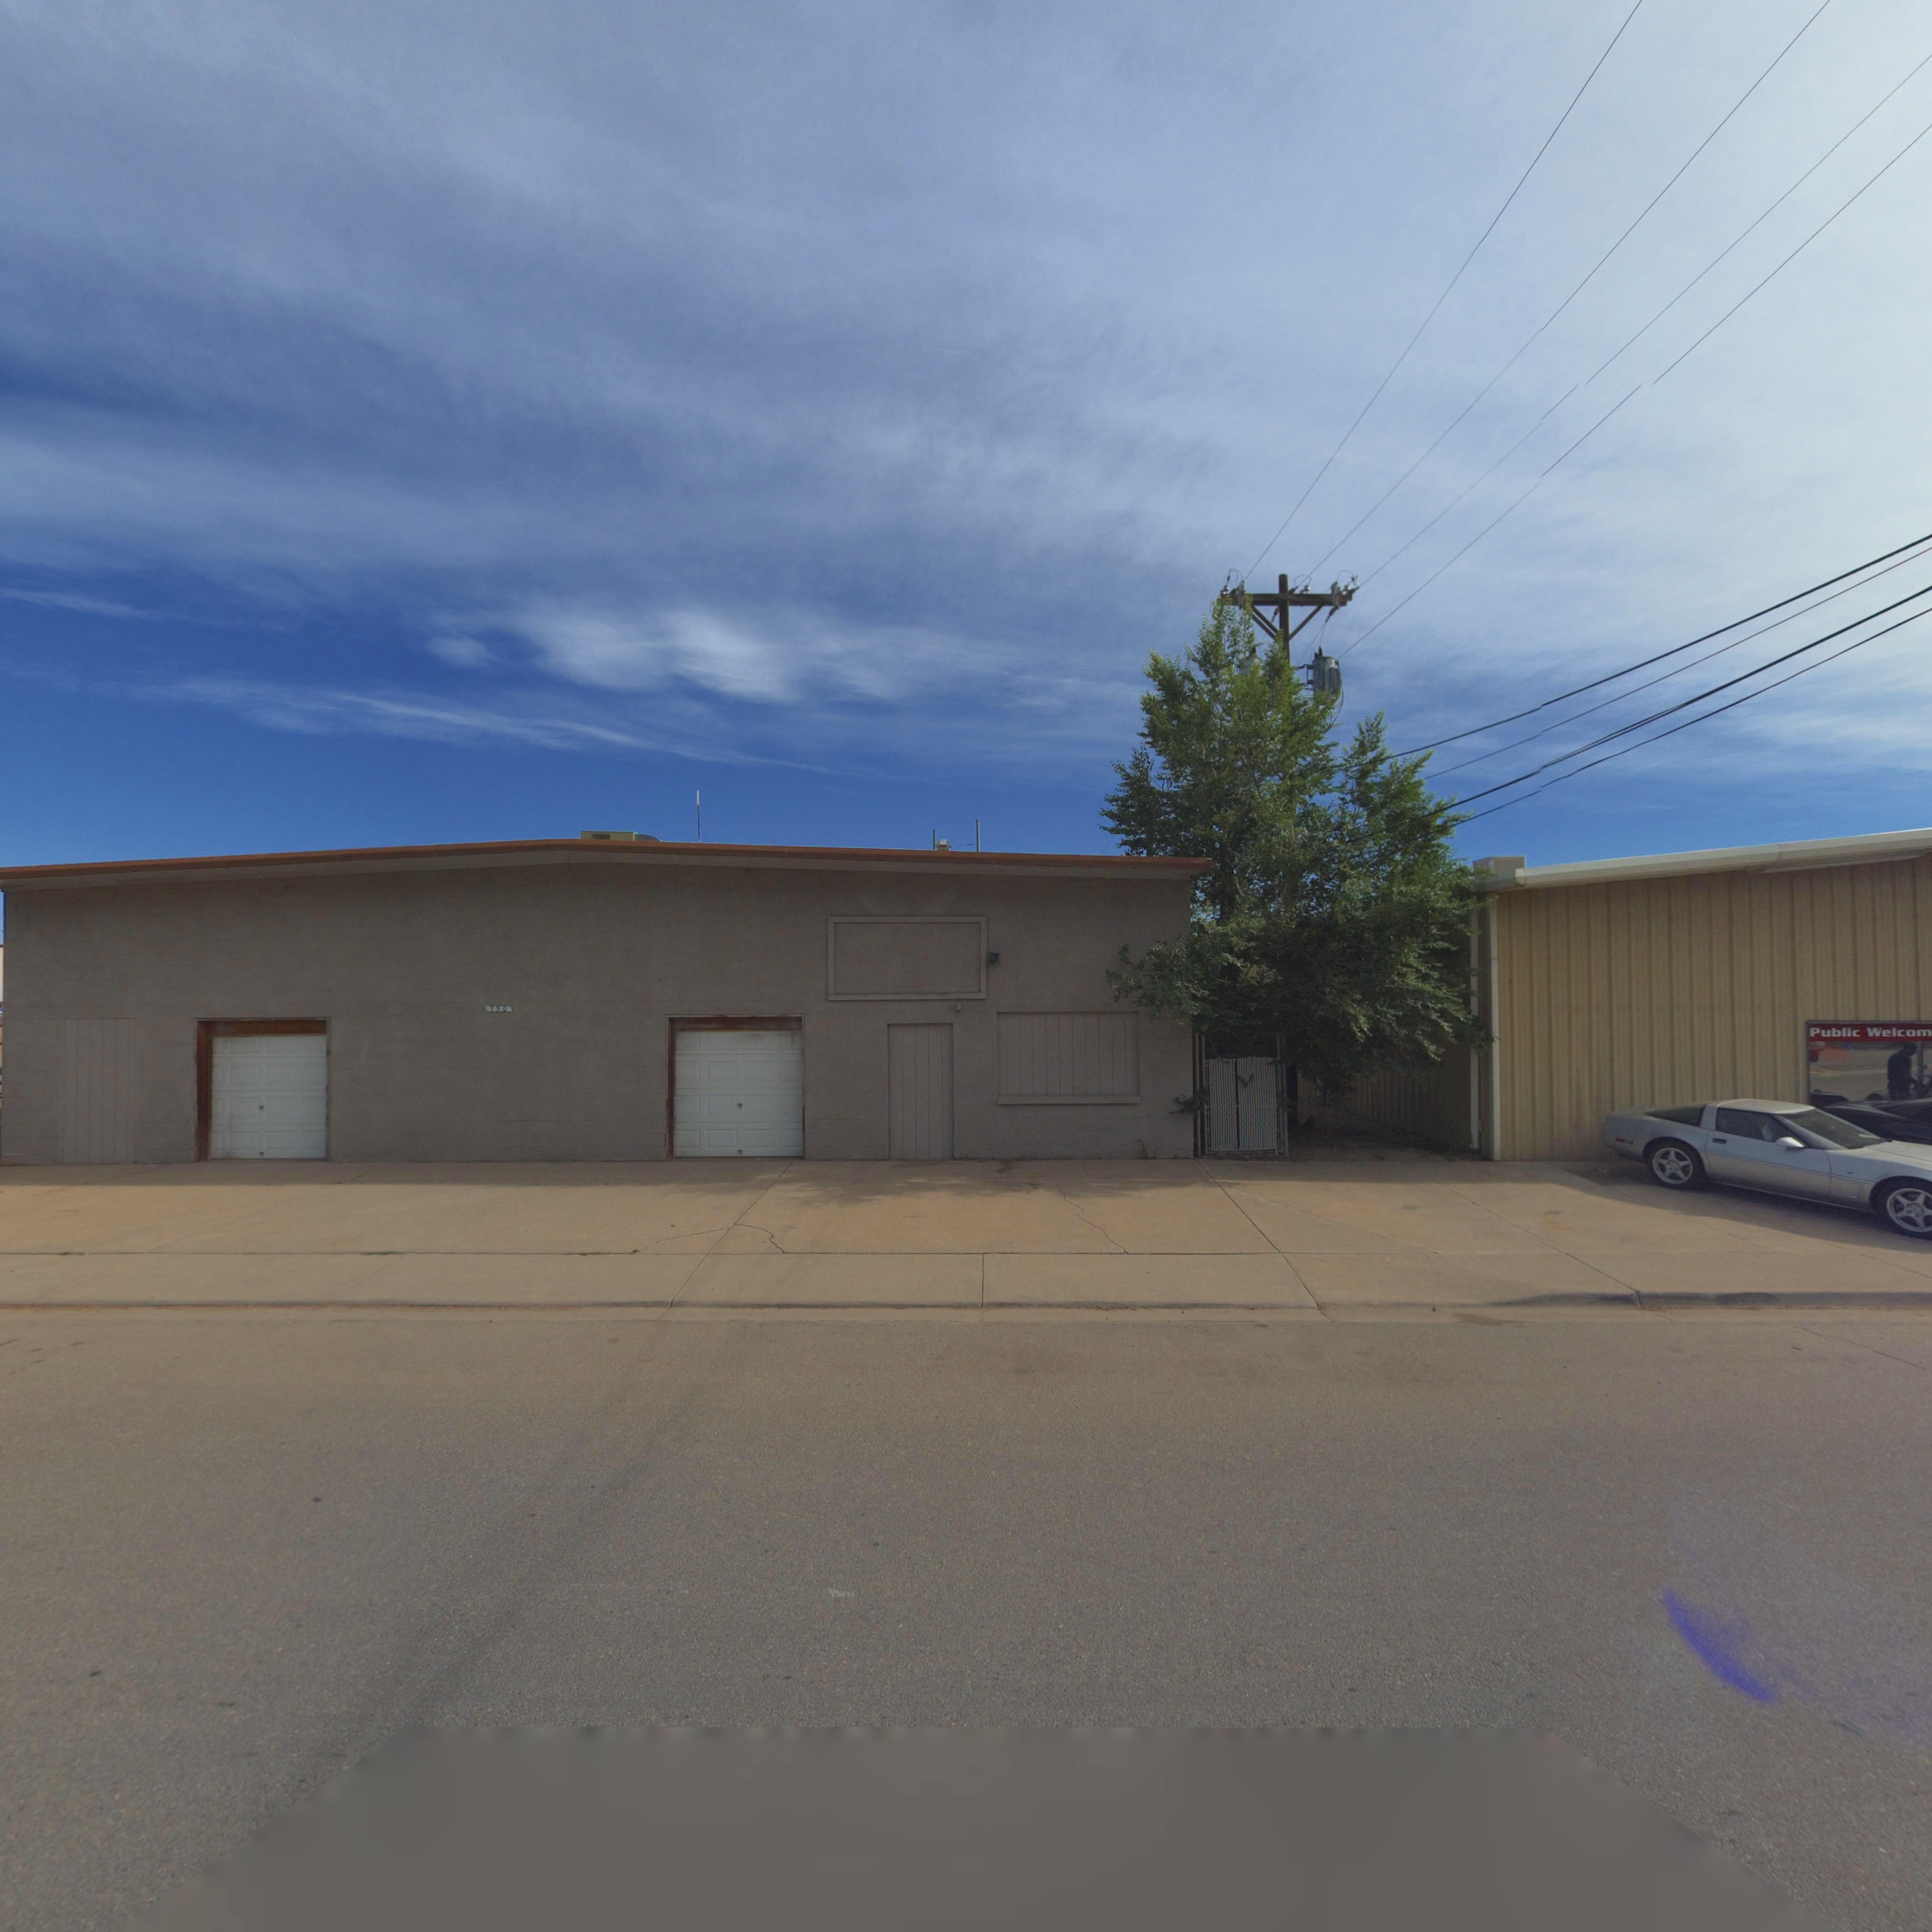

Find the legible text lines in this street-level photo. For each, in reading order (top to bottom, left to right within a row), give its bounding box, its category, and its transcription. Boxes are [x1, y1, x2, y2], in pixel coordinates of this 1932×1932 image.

[491, 1005, 507, 1011] StreetNumber: 150